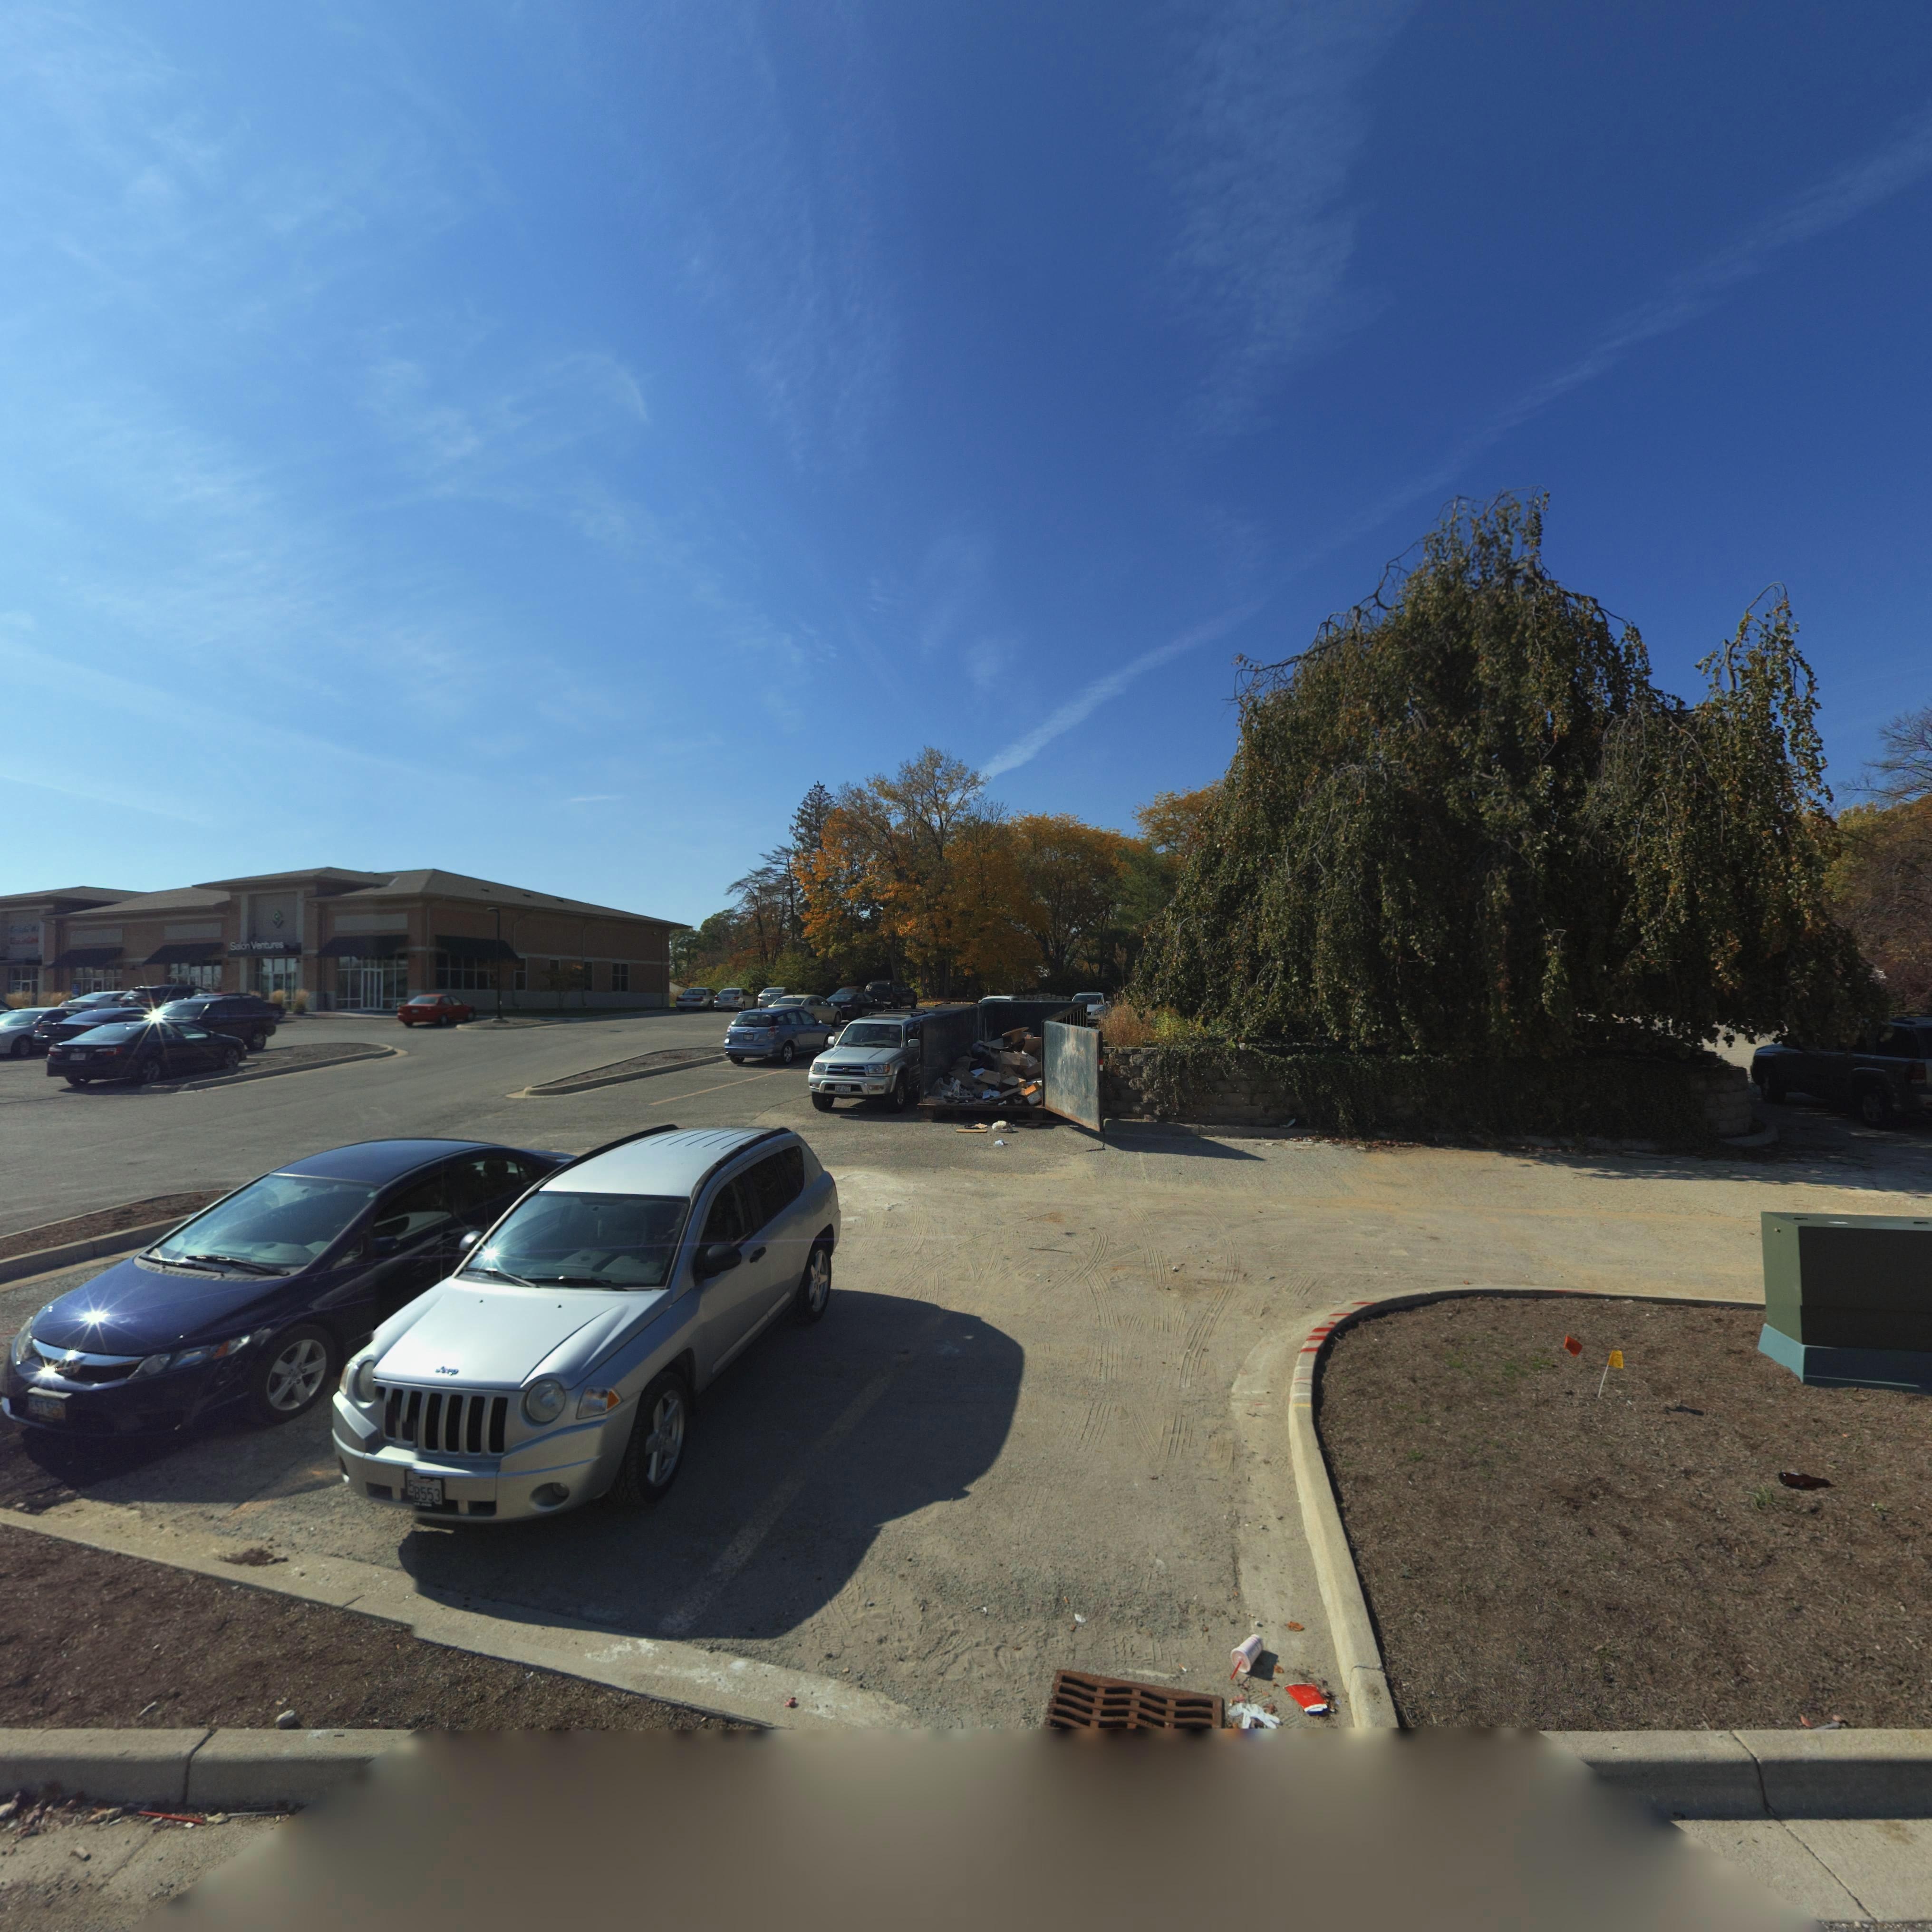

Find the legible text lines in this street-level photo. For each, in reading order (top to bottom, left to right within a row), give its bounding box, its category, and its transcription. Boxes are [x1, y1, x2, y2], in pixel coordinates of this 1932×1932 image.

[229, 940, 285, 952] BusinessName: Salon VentureS 